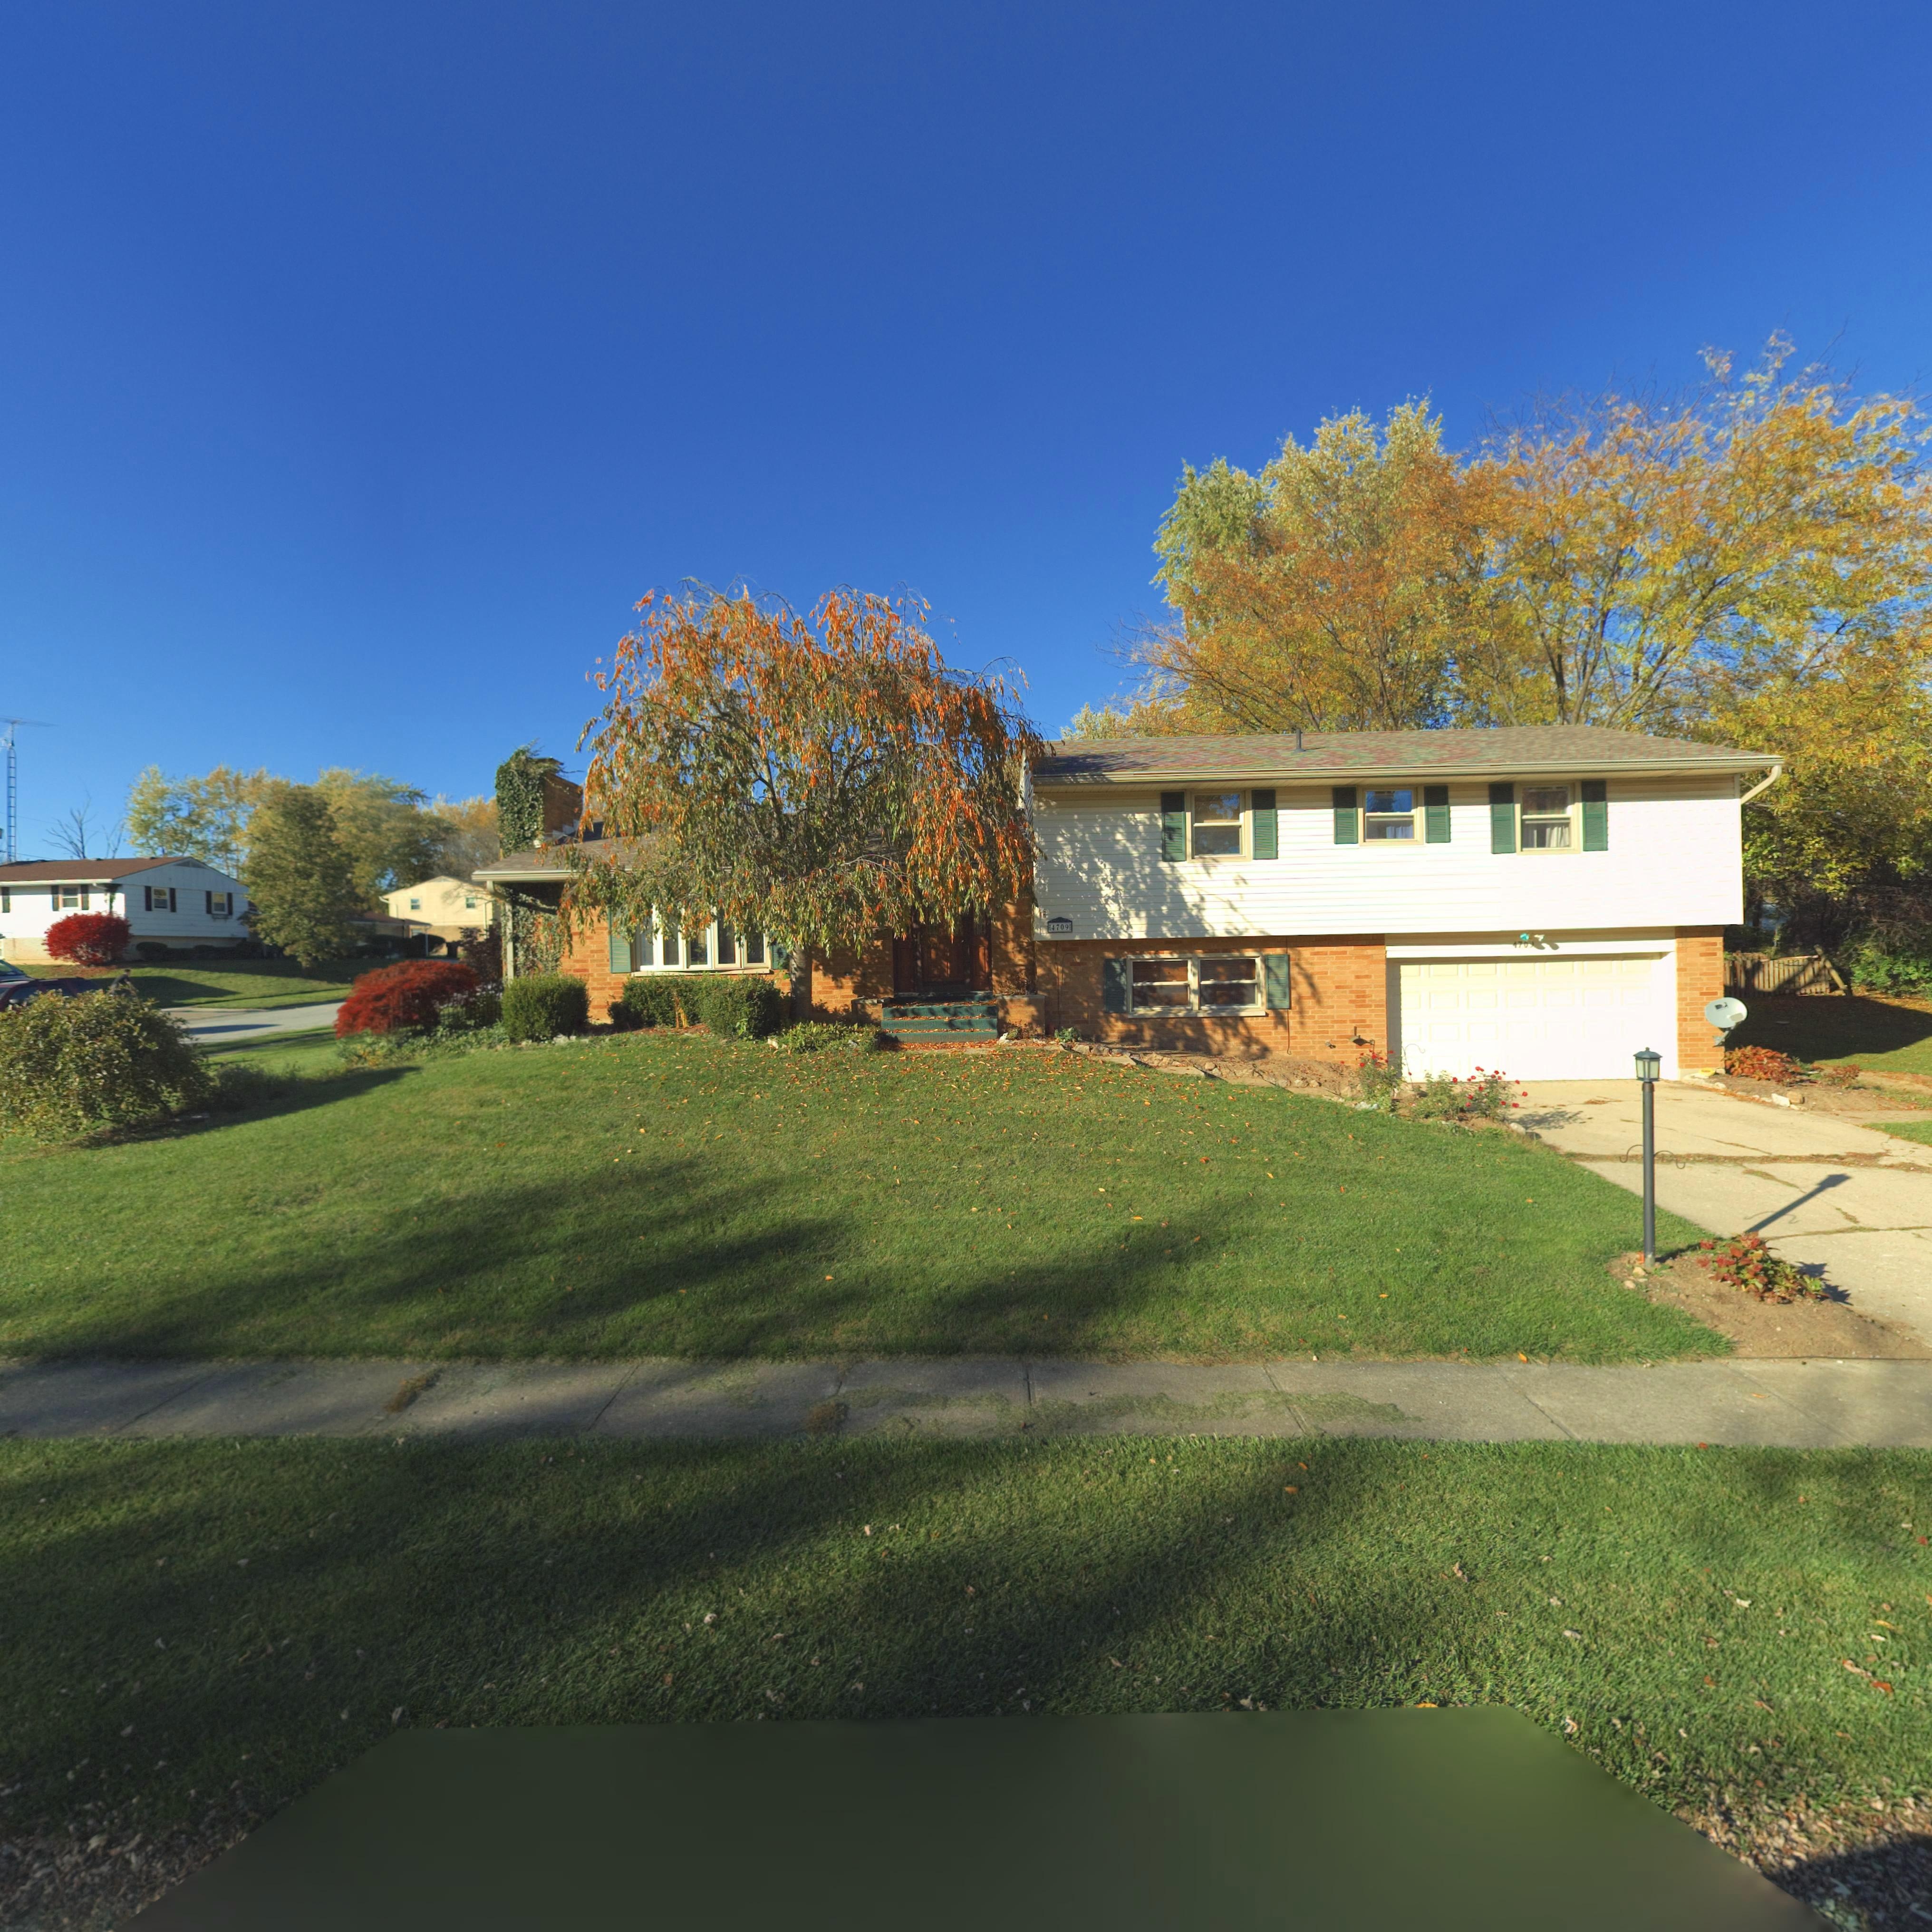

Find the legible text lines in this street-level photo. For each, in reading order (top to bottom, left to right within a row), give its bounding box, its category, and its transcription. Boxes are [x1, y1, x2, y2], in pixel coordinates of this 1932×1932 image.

[1050, 924, 1069, 931] StreetNumber: 4709
[1511, 940, 1535, 948] StreetNumber: 4709